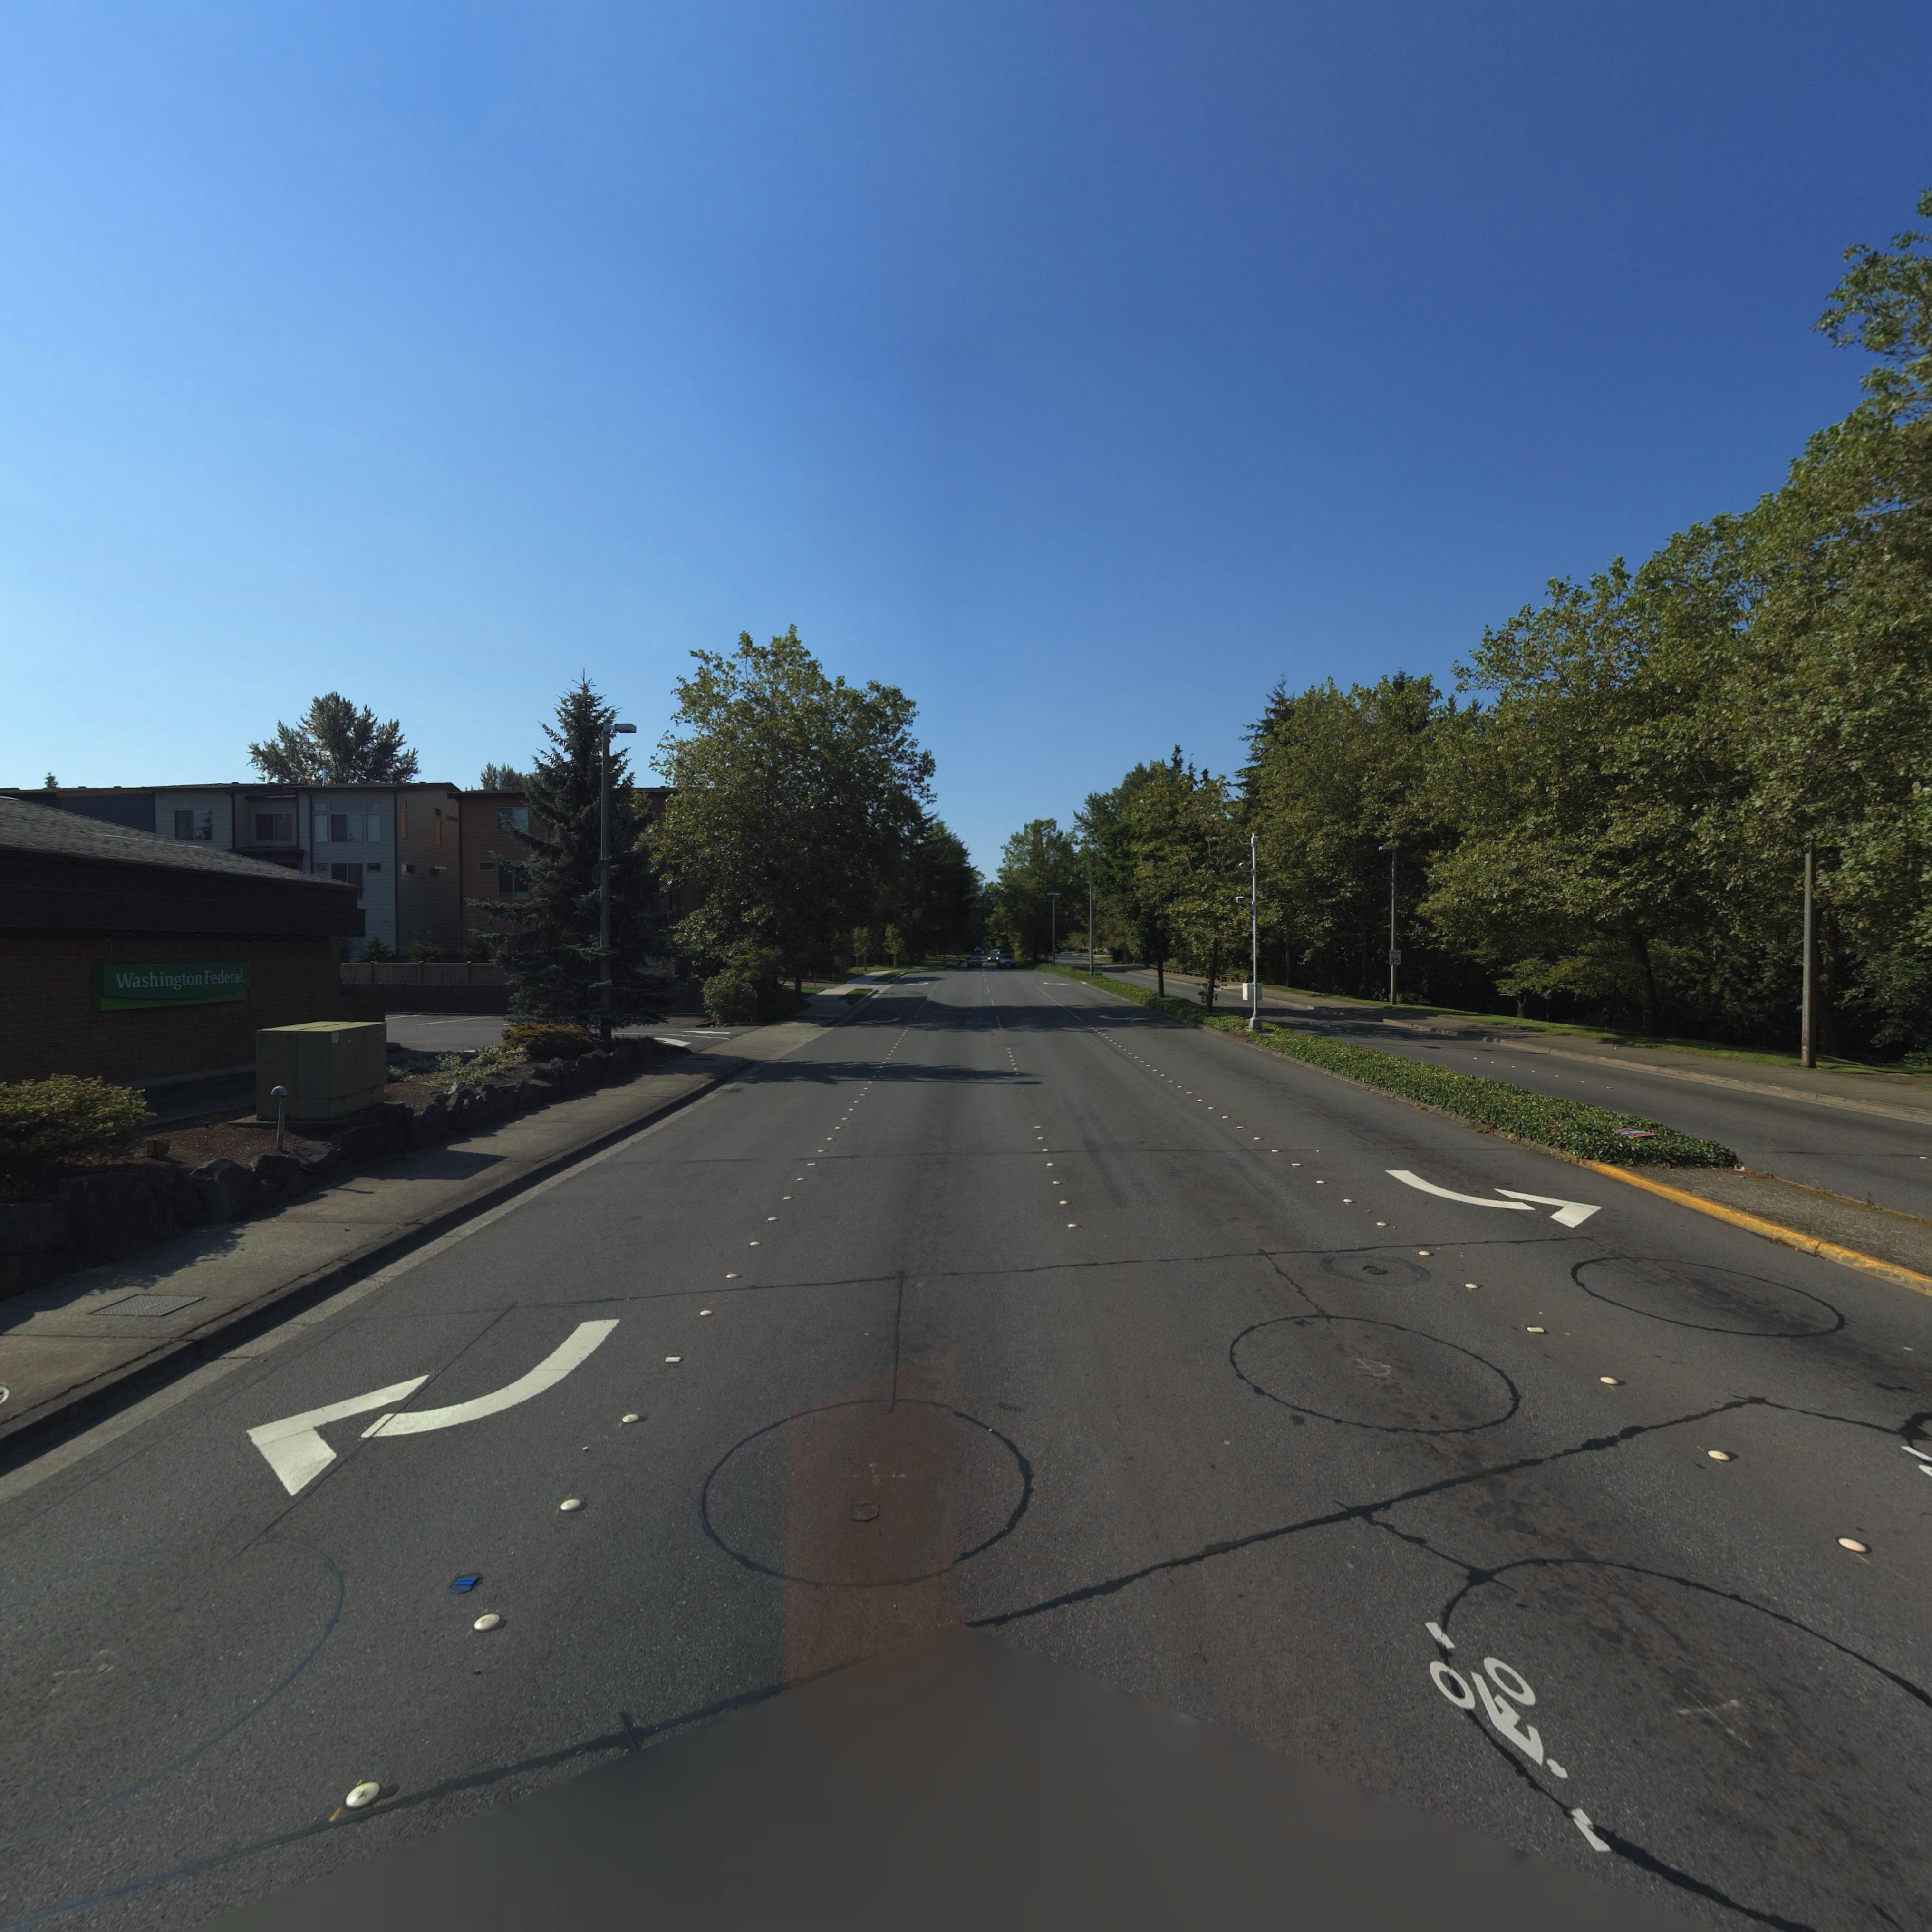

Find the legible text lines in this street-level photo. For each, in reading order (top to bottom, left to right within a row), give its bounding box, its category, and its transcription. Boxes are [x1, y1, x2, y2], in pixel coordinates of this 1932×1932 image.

[116, 968, 245, 990] BusinessName: Washington Federal